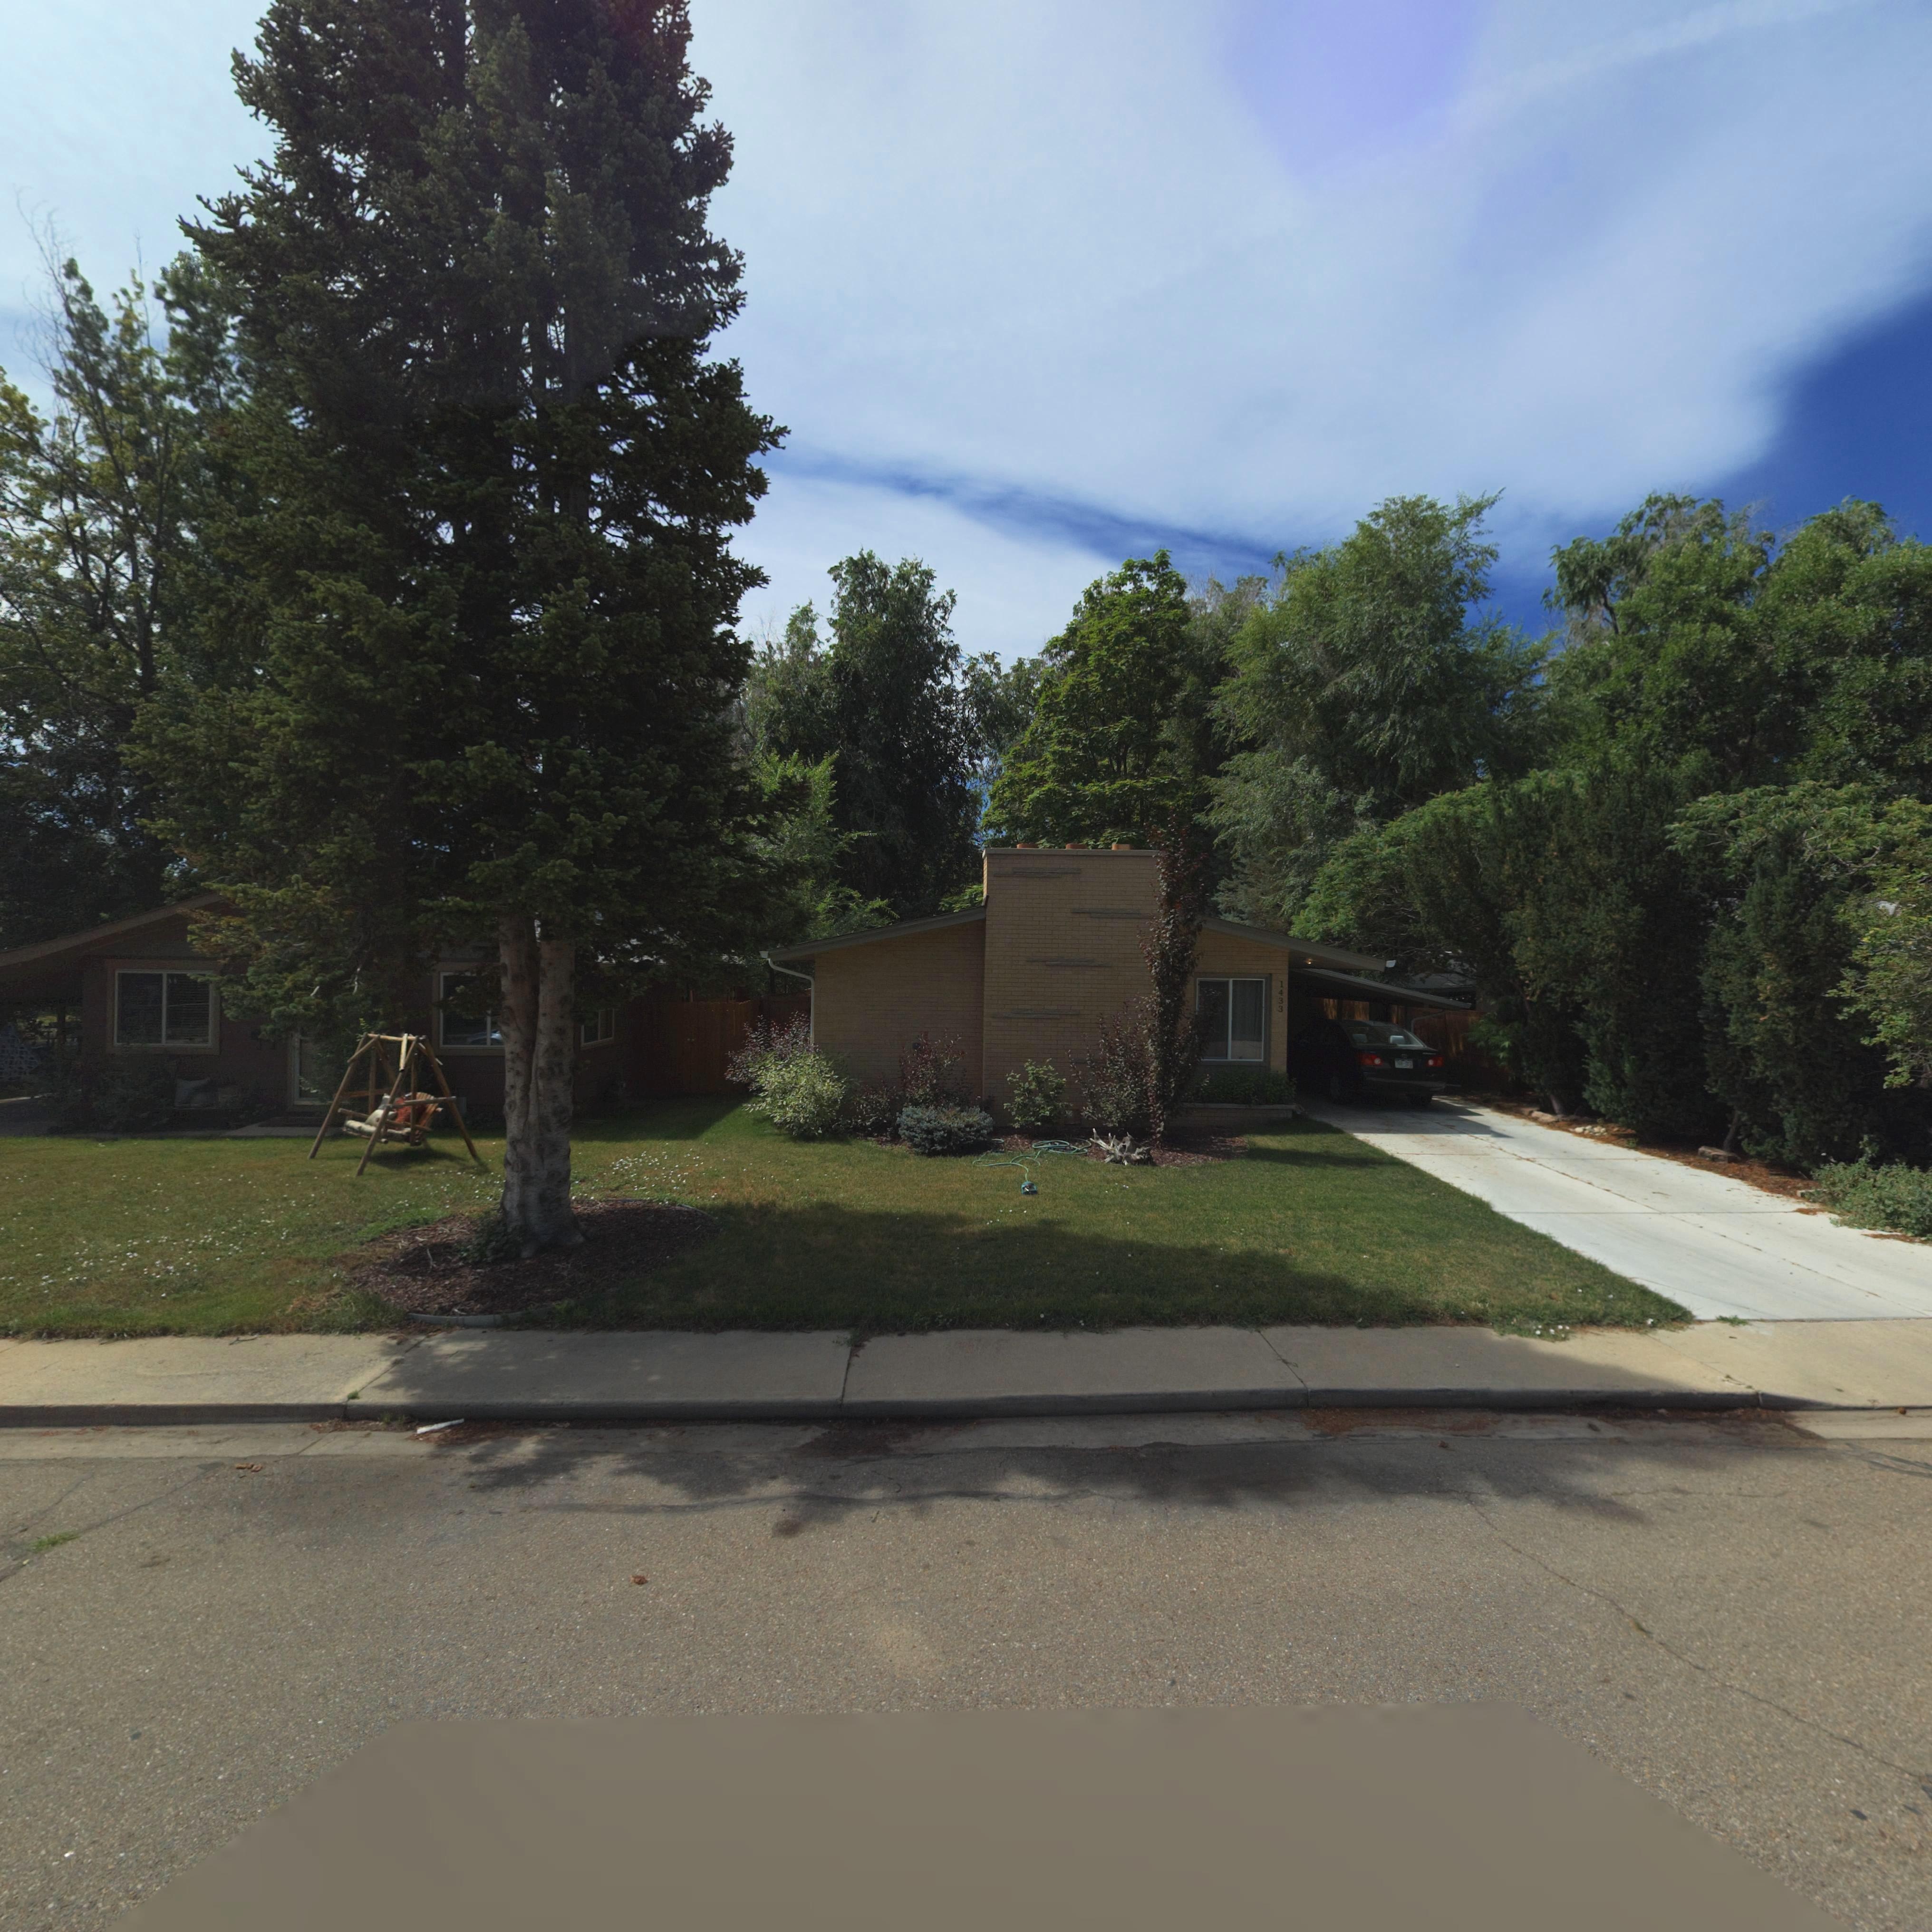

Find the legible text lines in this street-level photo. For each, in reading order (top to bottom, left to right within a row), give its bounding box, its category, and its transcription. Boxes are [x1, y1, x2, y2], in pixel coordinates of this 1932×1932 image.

[1277, 980, 1284, 1013] StreetNumber: 1433